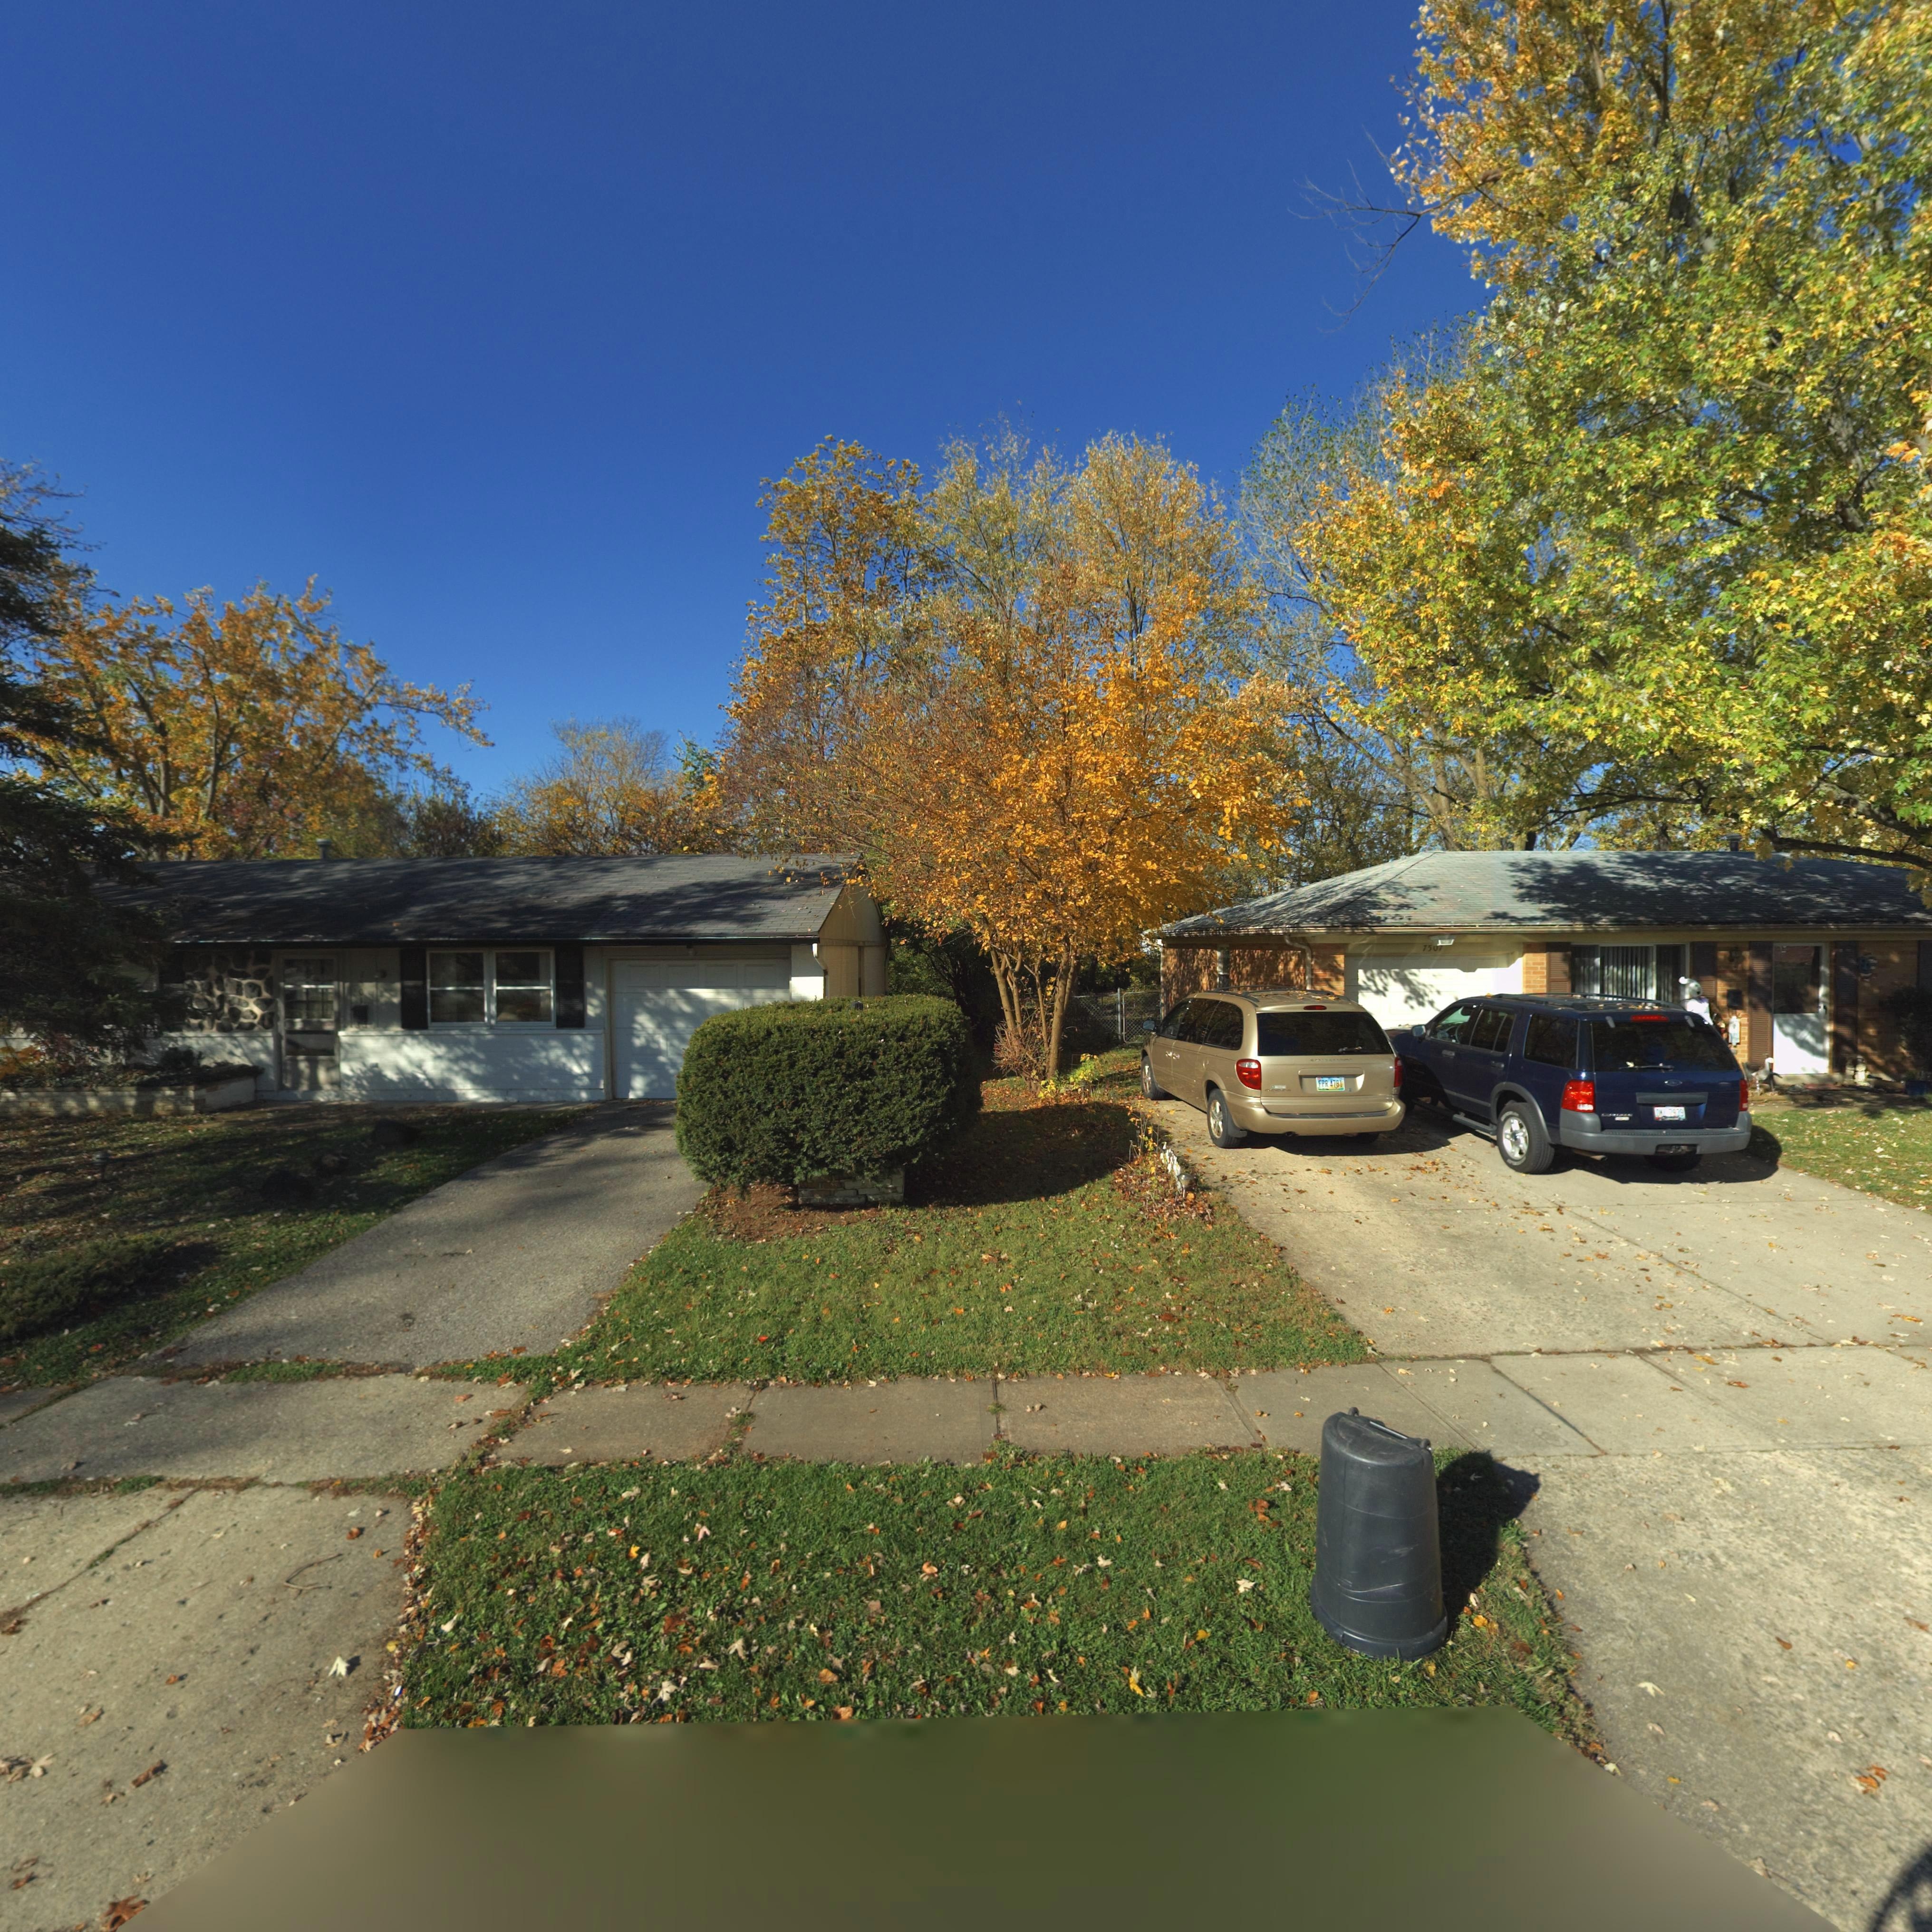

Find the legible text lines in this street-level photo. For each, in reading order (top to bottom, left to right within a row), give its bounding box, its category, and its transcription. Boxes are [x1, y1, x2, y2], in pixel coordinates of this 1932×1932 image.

[1422, 944, 1444, 953] StreetNumber: 75**
[357, 969, 366, 1005] StreetNumber: **0*